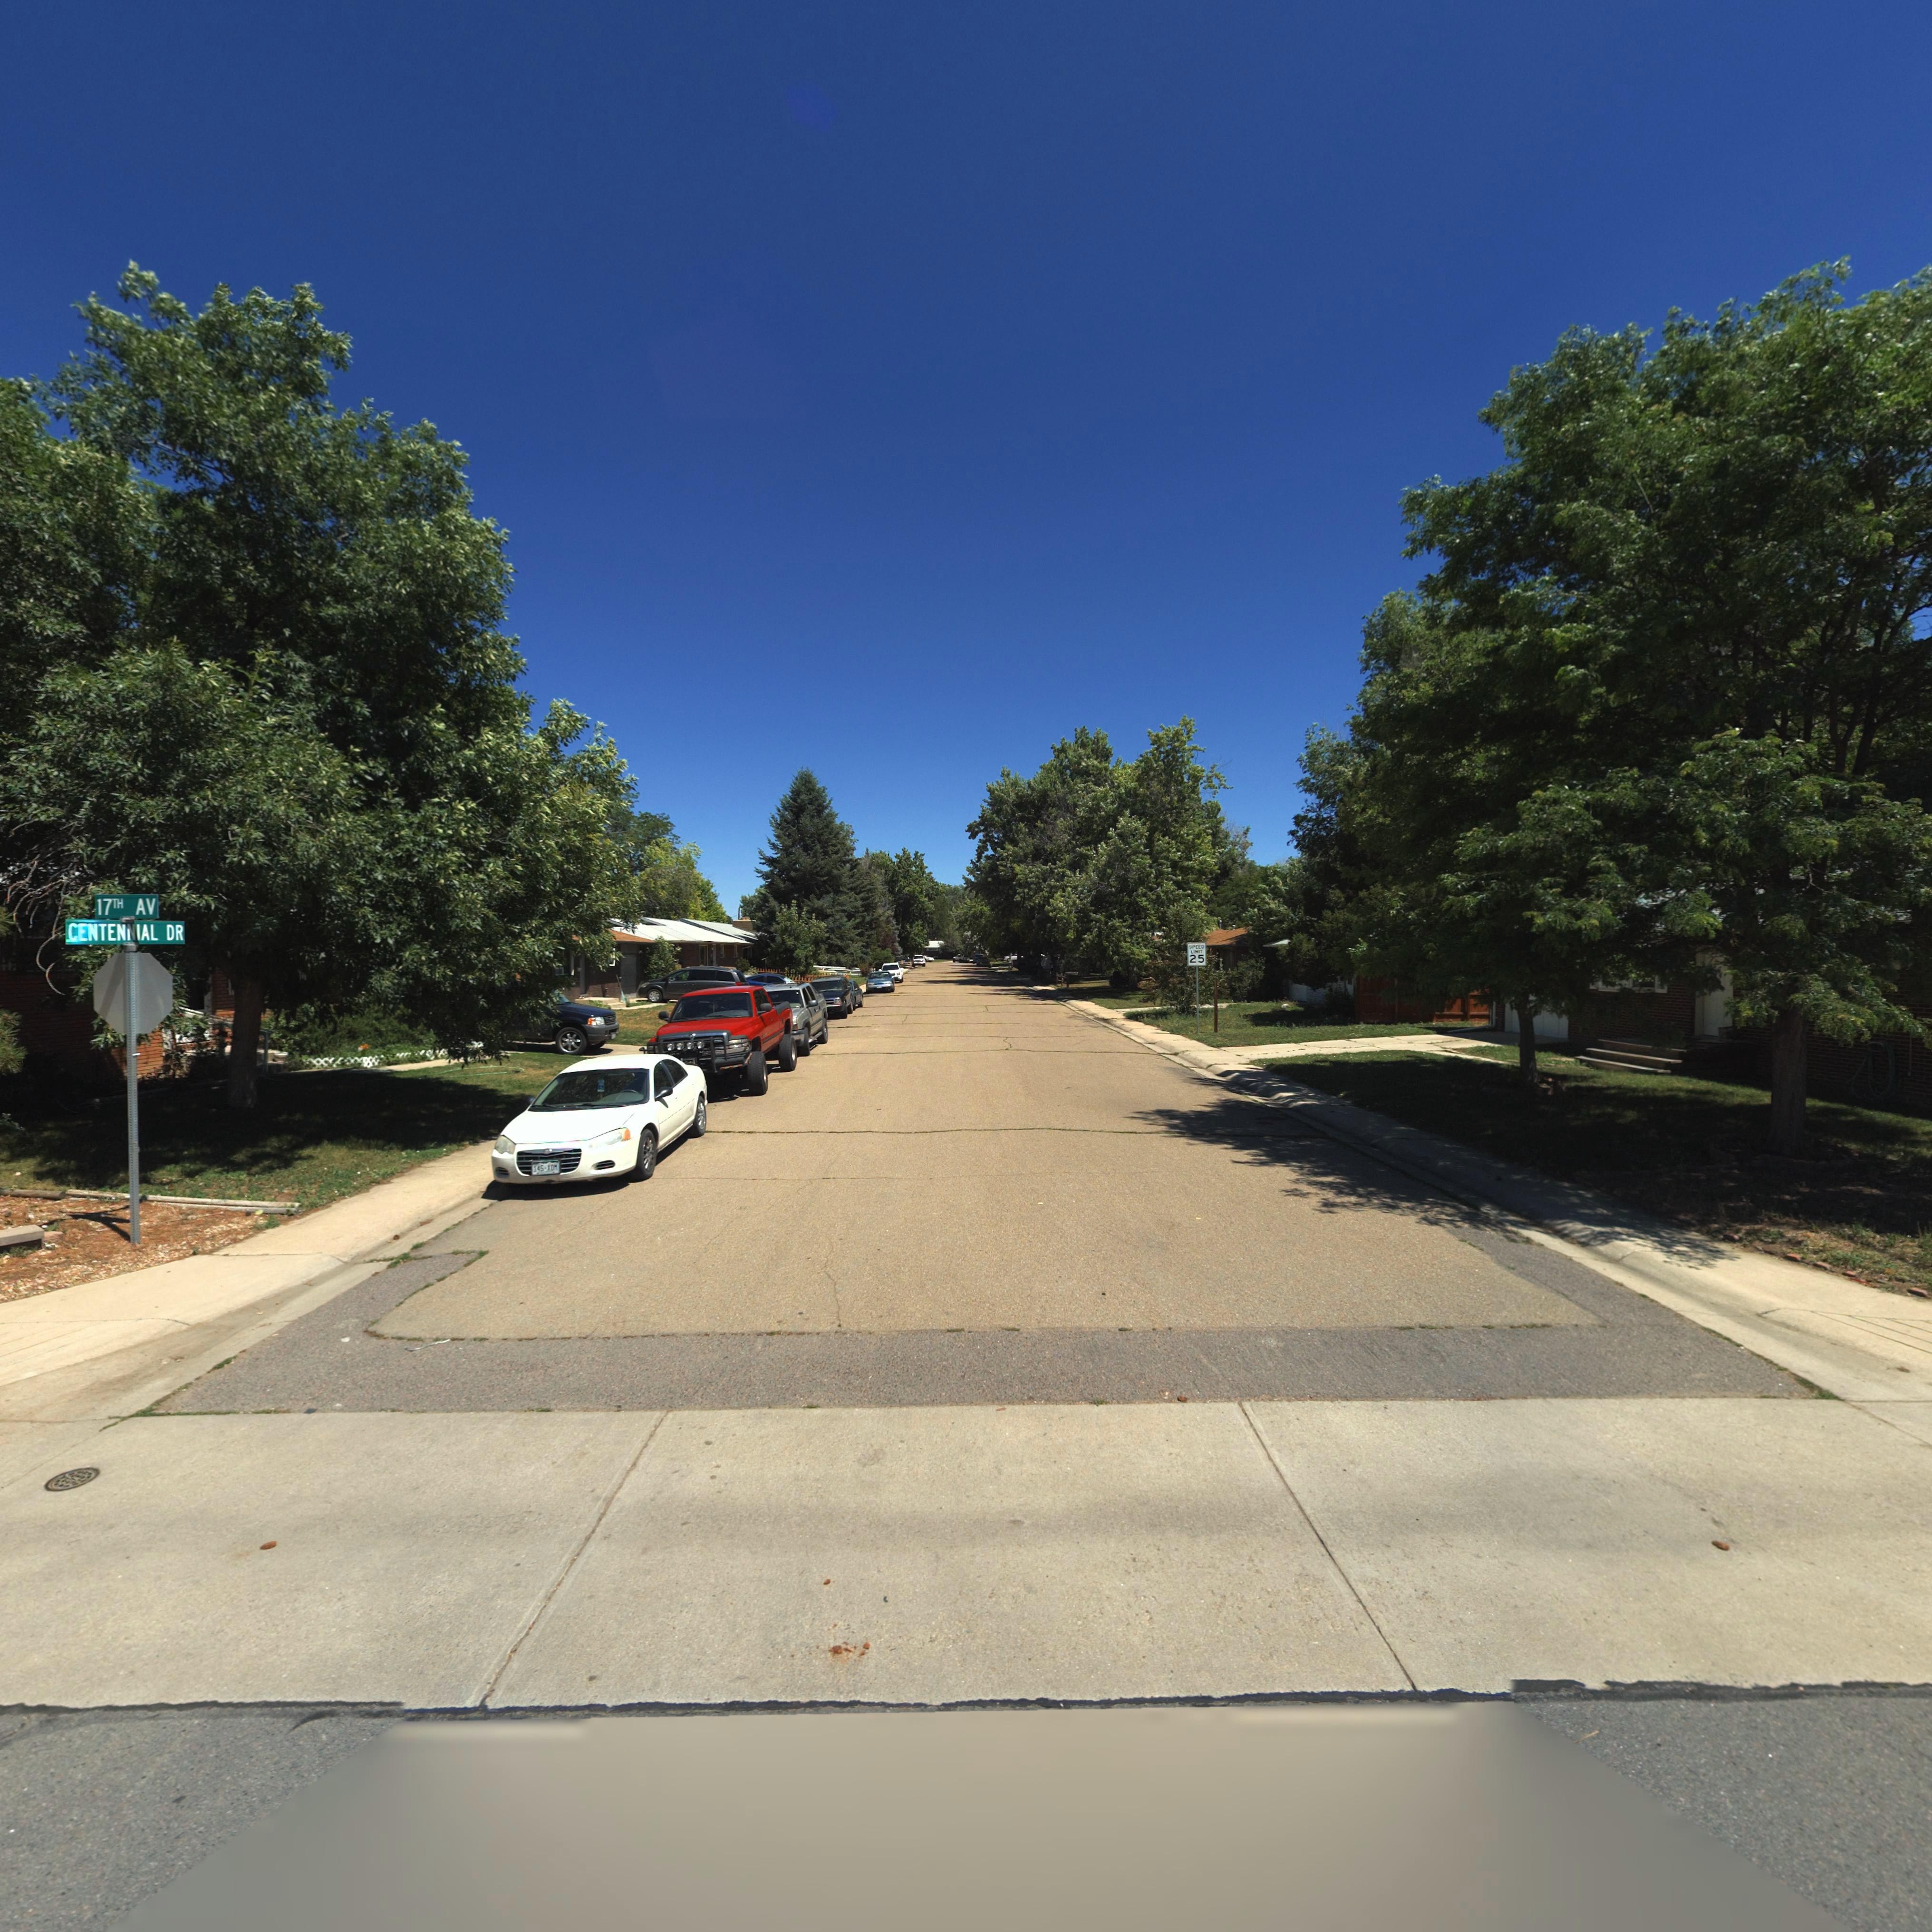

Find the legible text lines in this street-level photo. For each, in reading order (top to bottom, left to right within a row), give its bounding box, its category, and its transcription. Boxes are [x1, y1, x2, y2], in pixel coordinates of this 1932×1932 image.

[97, 897, 156, 916] StreetName: 17TH AV
[68, 922, 183, 941] StreetName: CENTENNIAL DR